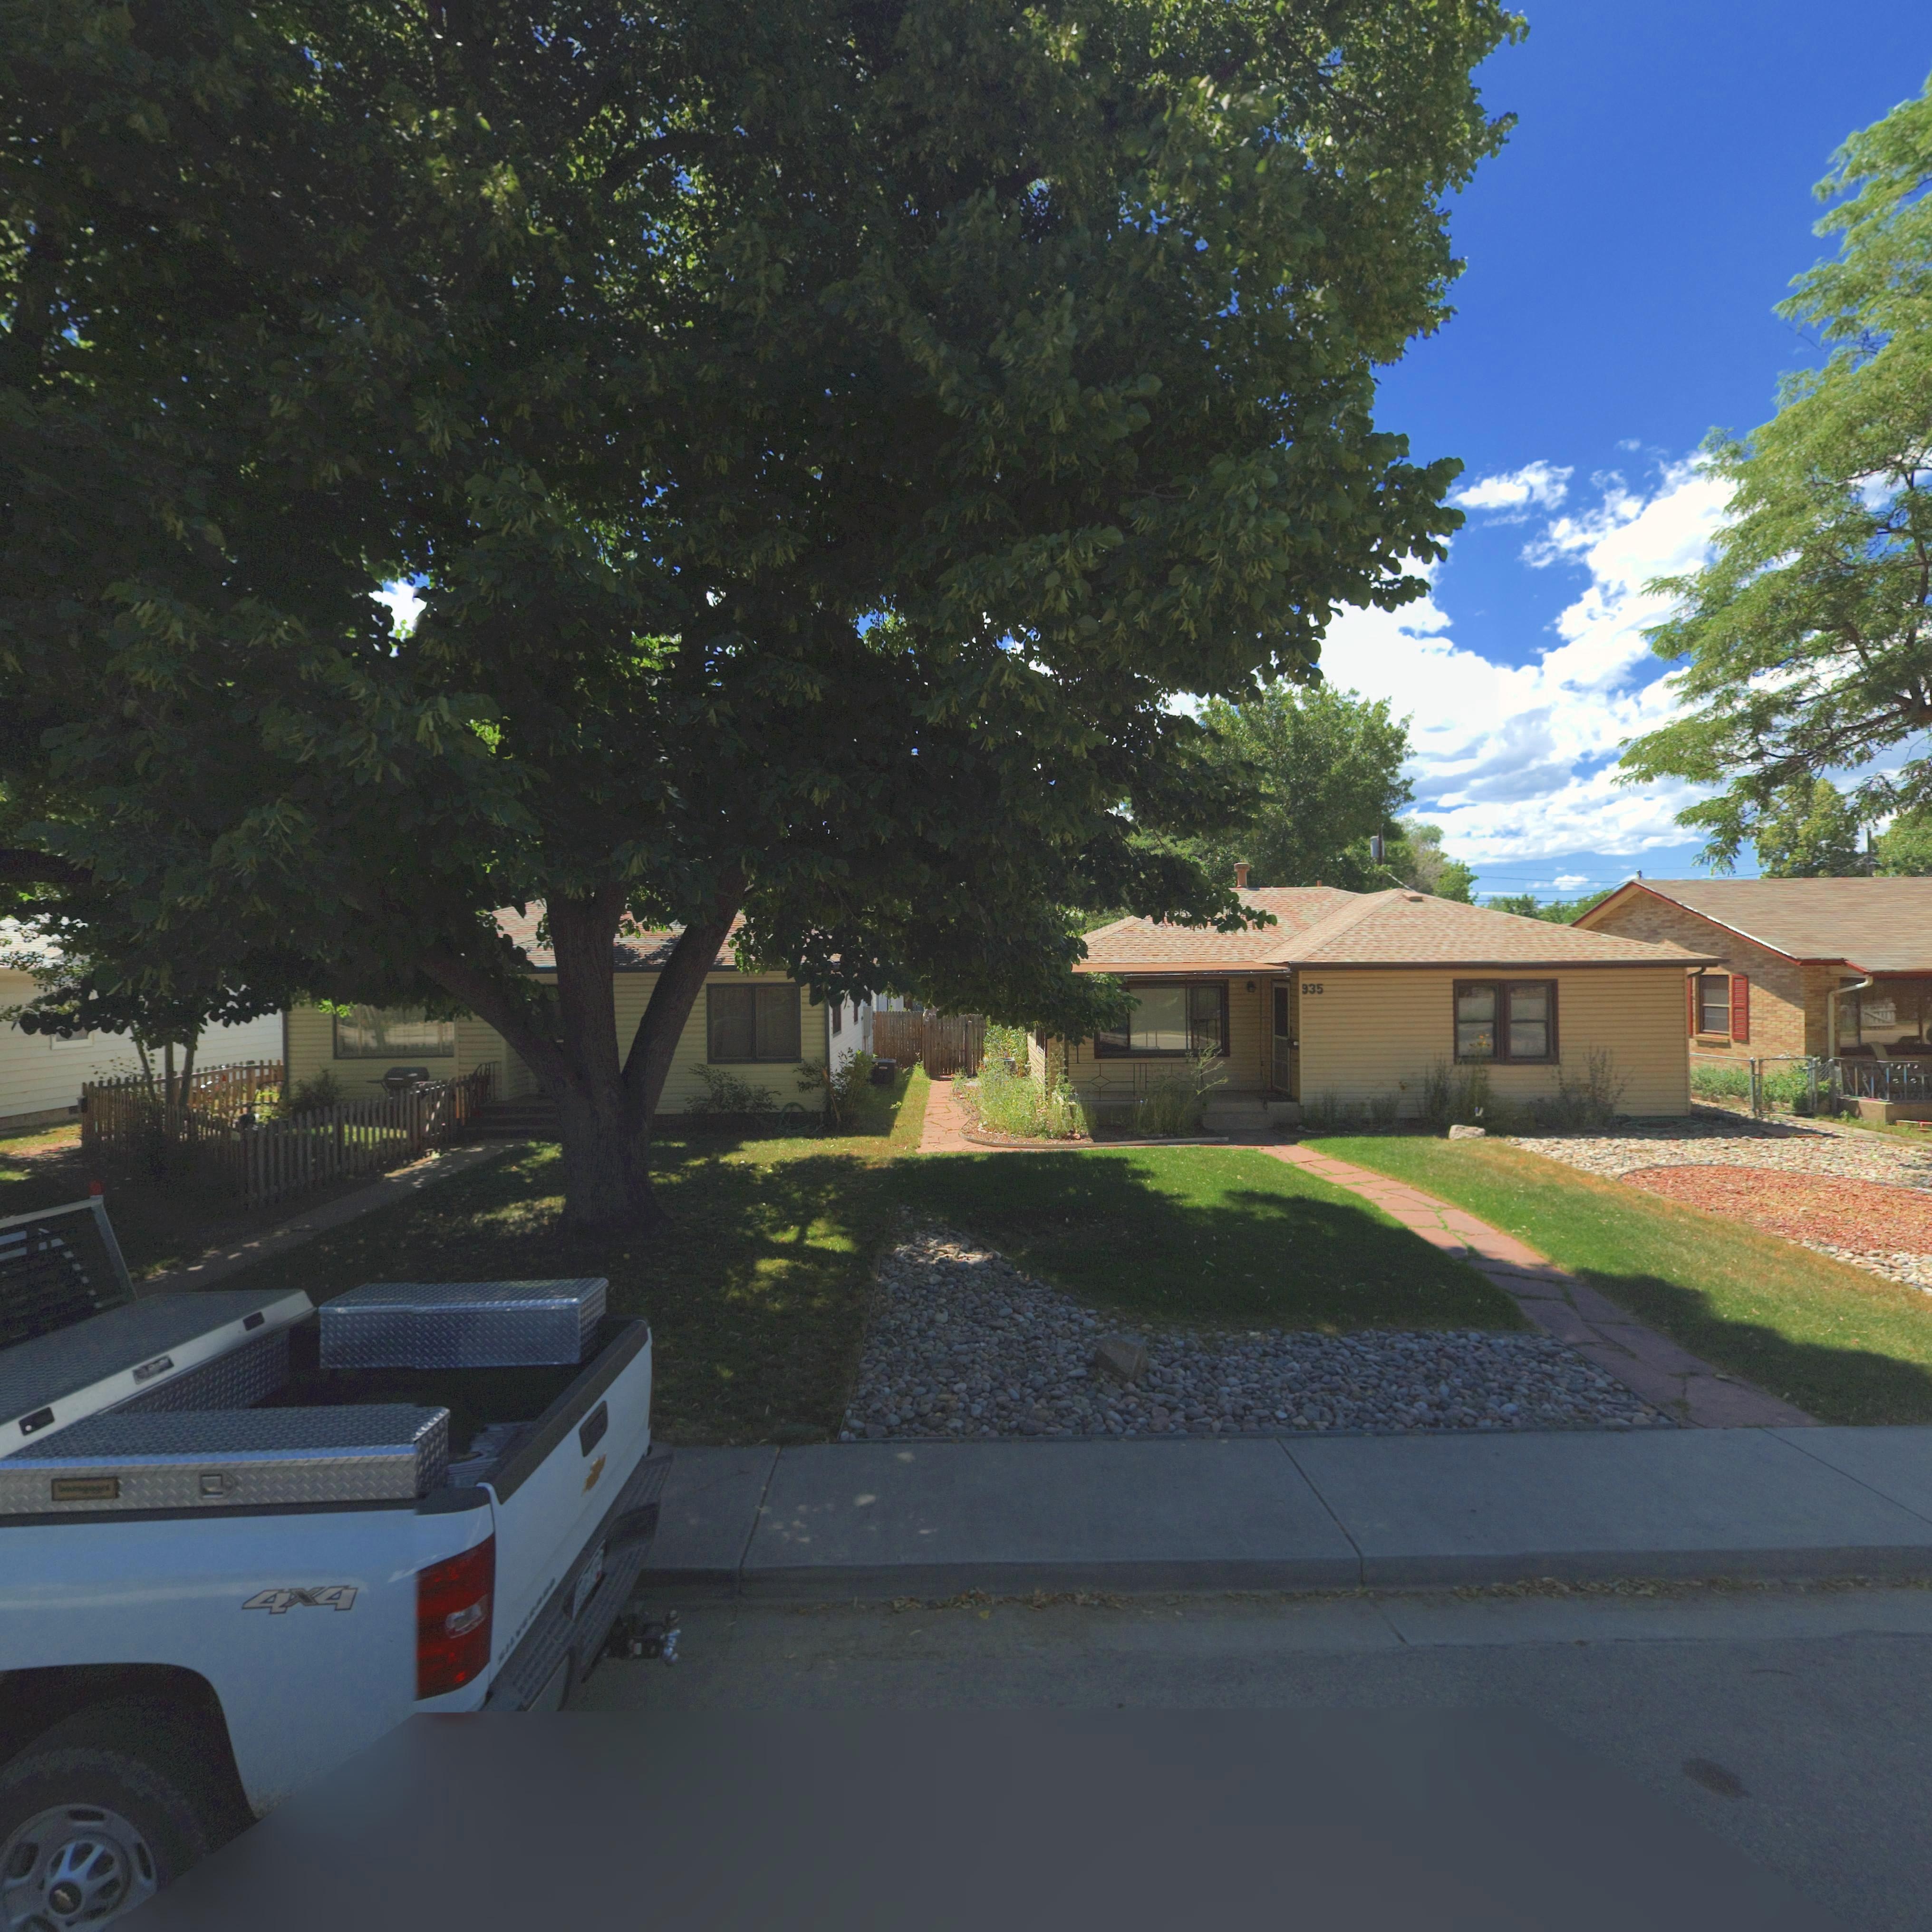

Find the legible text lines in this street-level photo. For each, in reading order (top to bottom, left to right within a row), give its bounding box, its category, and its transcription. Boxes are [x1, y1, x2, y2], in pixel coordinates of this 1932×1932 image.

[1302, 983, 1323, 994] StreetNumber: 935